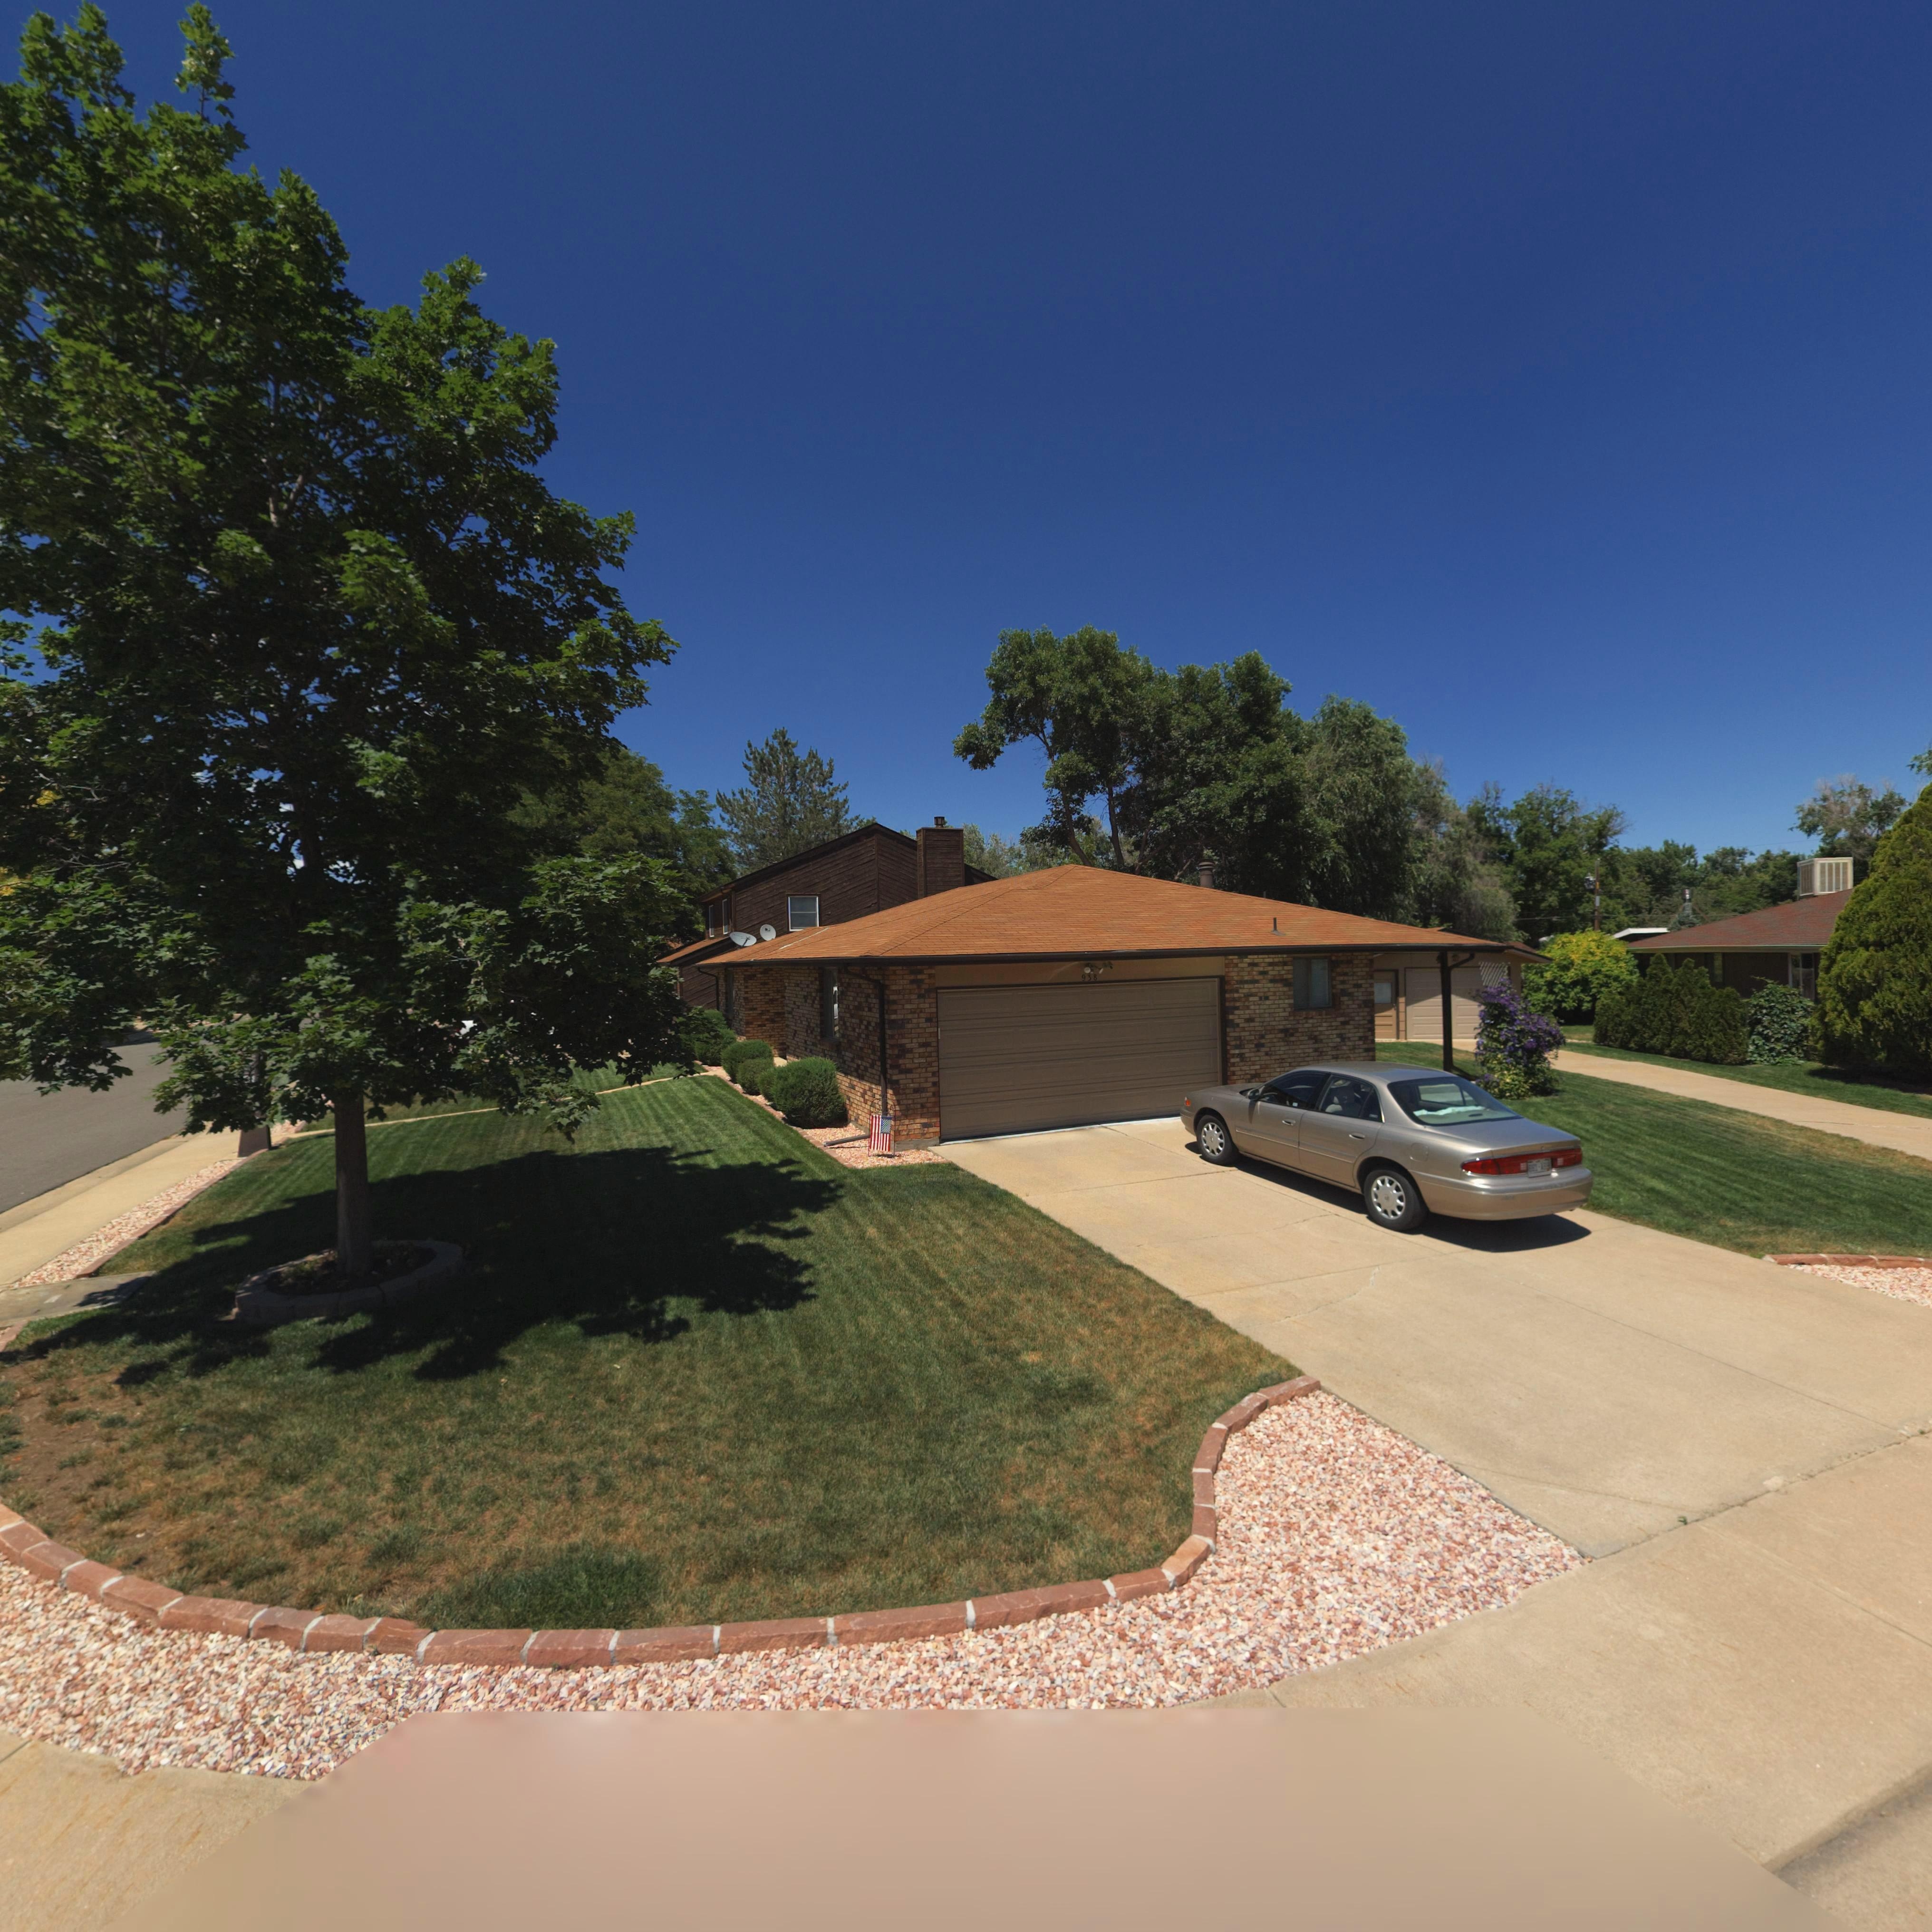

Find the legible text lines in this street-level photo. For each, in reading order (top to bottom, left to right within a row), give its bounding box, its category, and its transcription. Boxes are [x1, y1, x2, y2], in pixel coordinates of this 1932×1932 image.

[1081, 974, 1097, 981] StreetNumber: 938